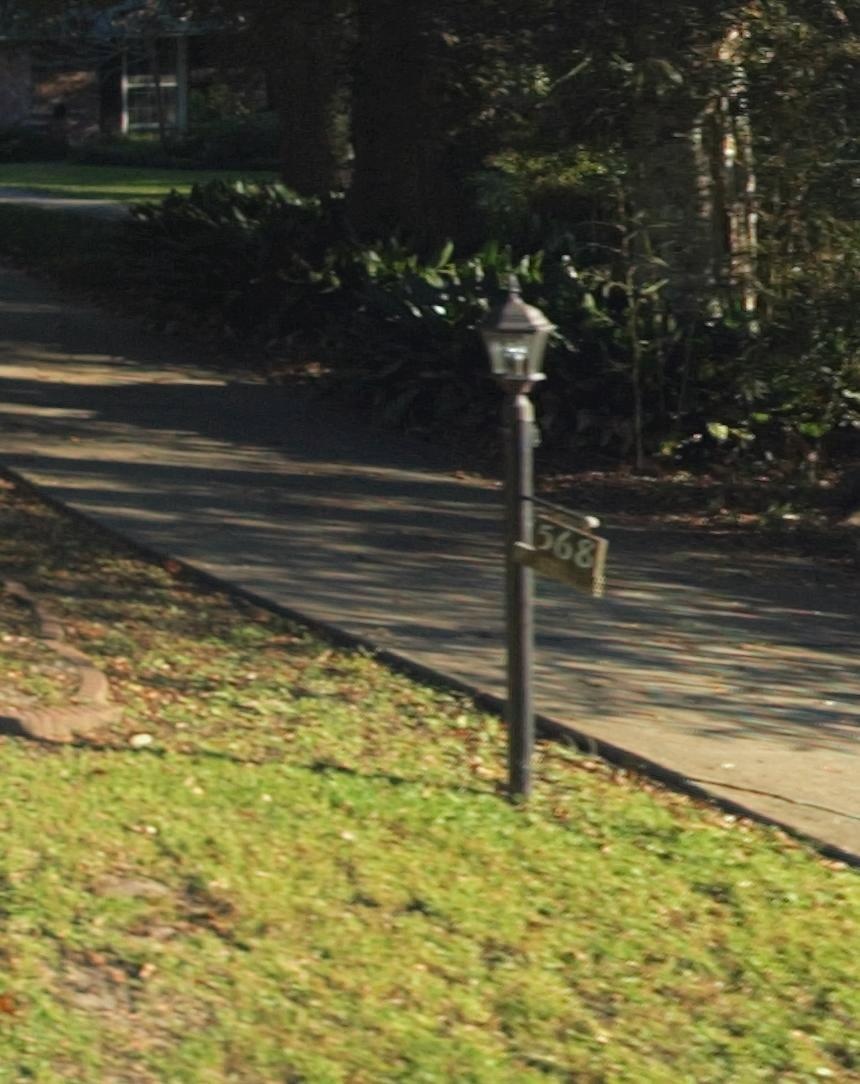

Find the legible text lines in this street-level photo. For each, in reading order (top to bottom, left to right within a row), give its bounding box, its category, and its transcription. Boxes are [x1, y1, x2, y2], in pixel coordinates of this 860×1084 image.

[531, 517, 603, 575] StreetNumber: 568